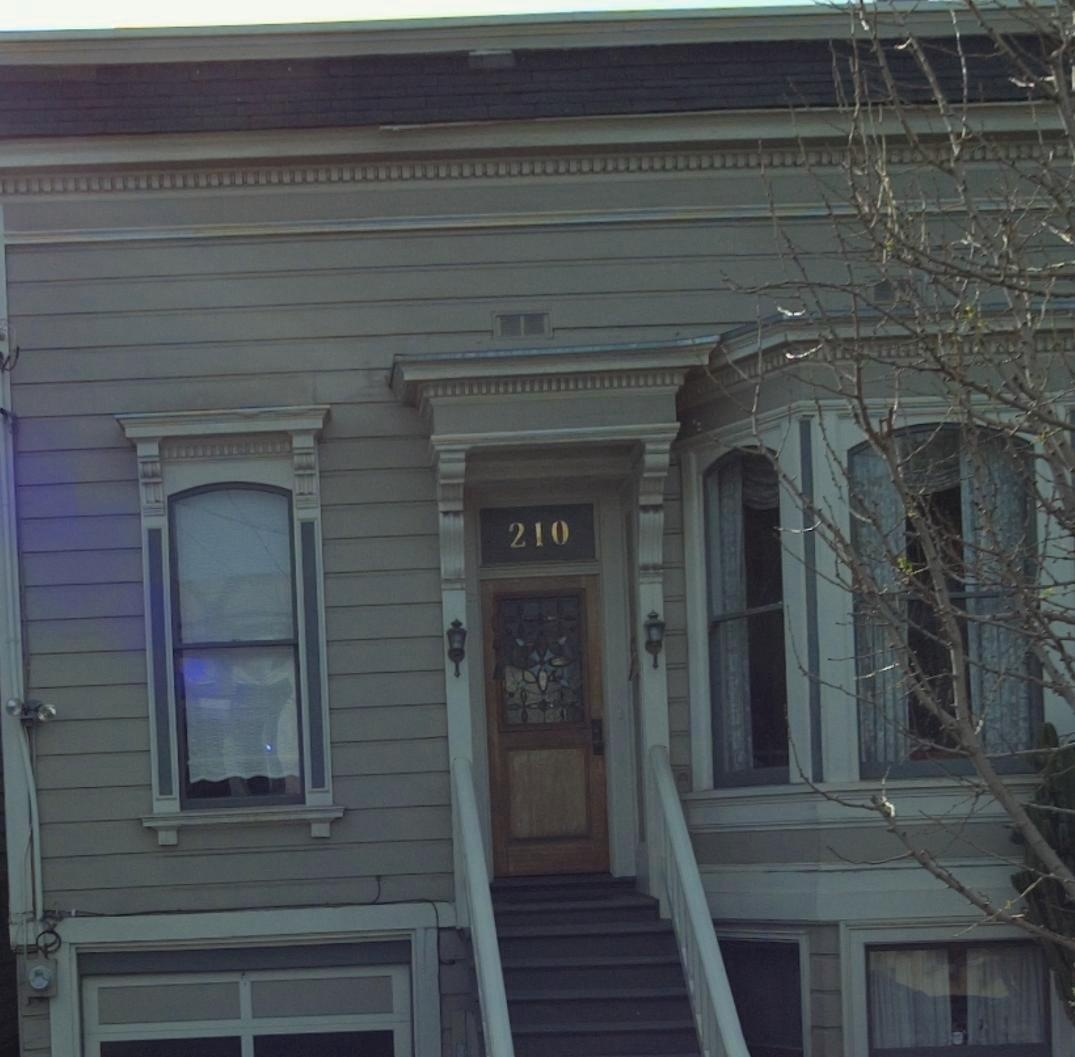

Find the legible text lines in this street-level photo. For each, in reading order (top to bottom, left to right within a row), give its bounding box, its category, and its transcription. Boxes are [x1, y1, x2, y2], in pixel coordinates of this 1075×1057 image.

[507, 519, 571, 549] StreetNumber: 210